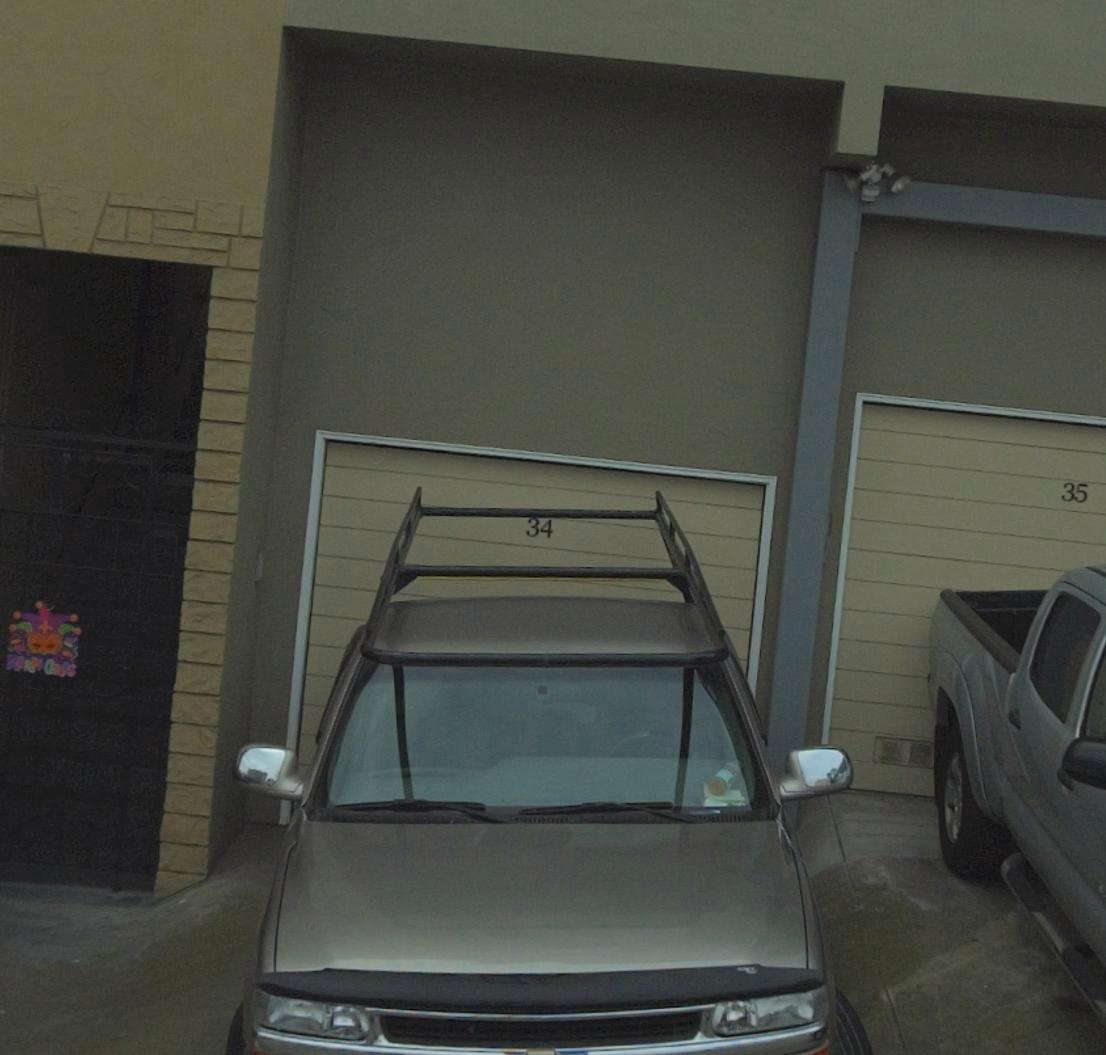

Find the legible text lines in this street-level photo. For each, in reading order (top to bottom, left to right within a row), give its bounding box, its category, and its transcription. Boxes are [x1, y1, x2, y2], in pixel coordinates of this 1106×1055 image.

[1060, 480, 1091, 505] StreetNumber: 35
[525, 515, 555, 540] StreetNumber: 34